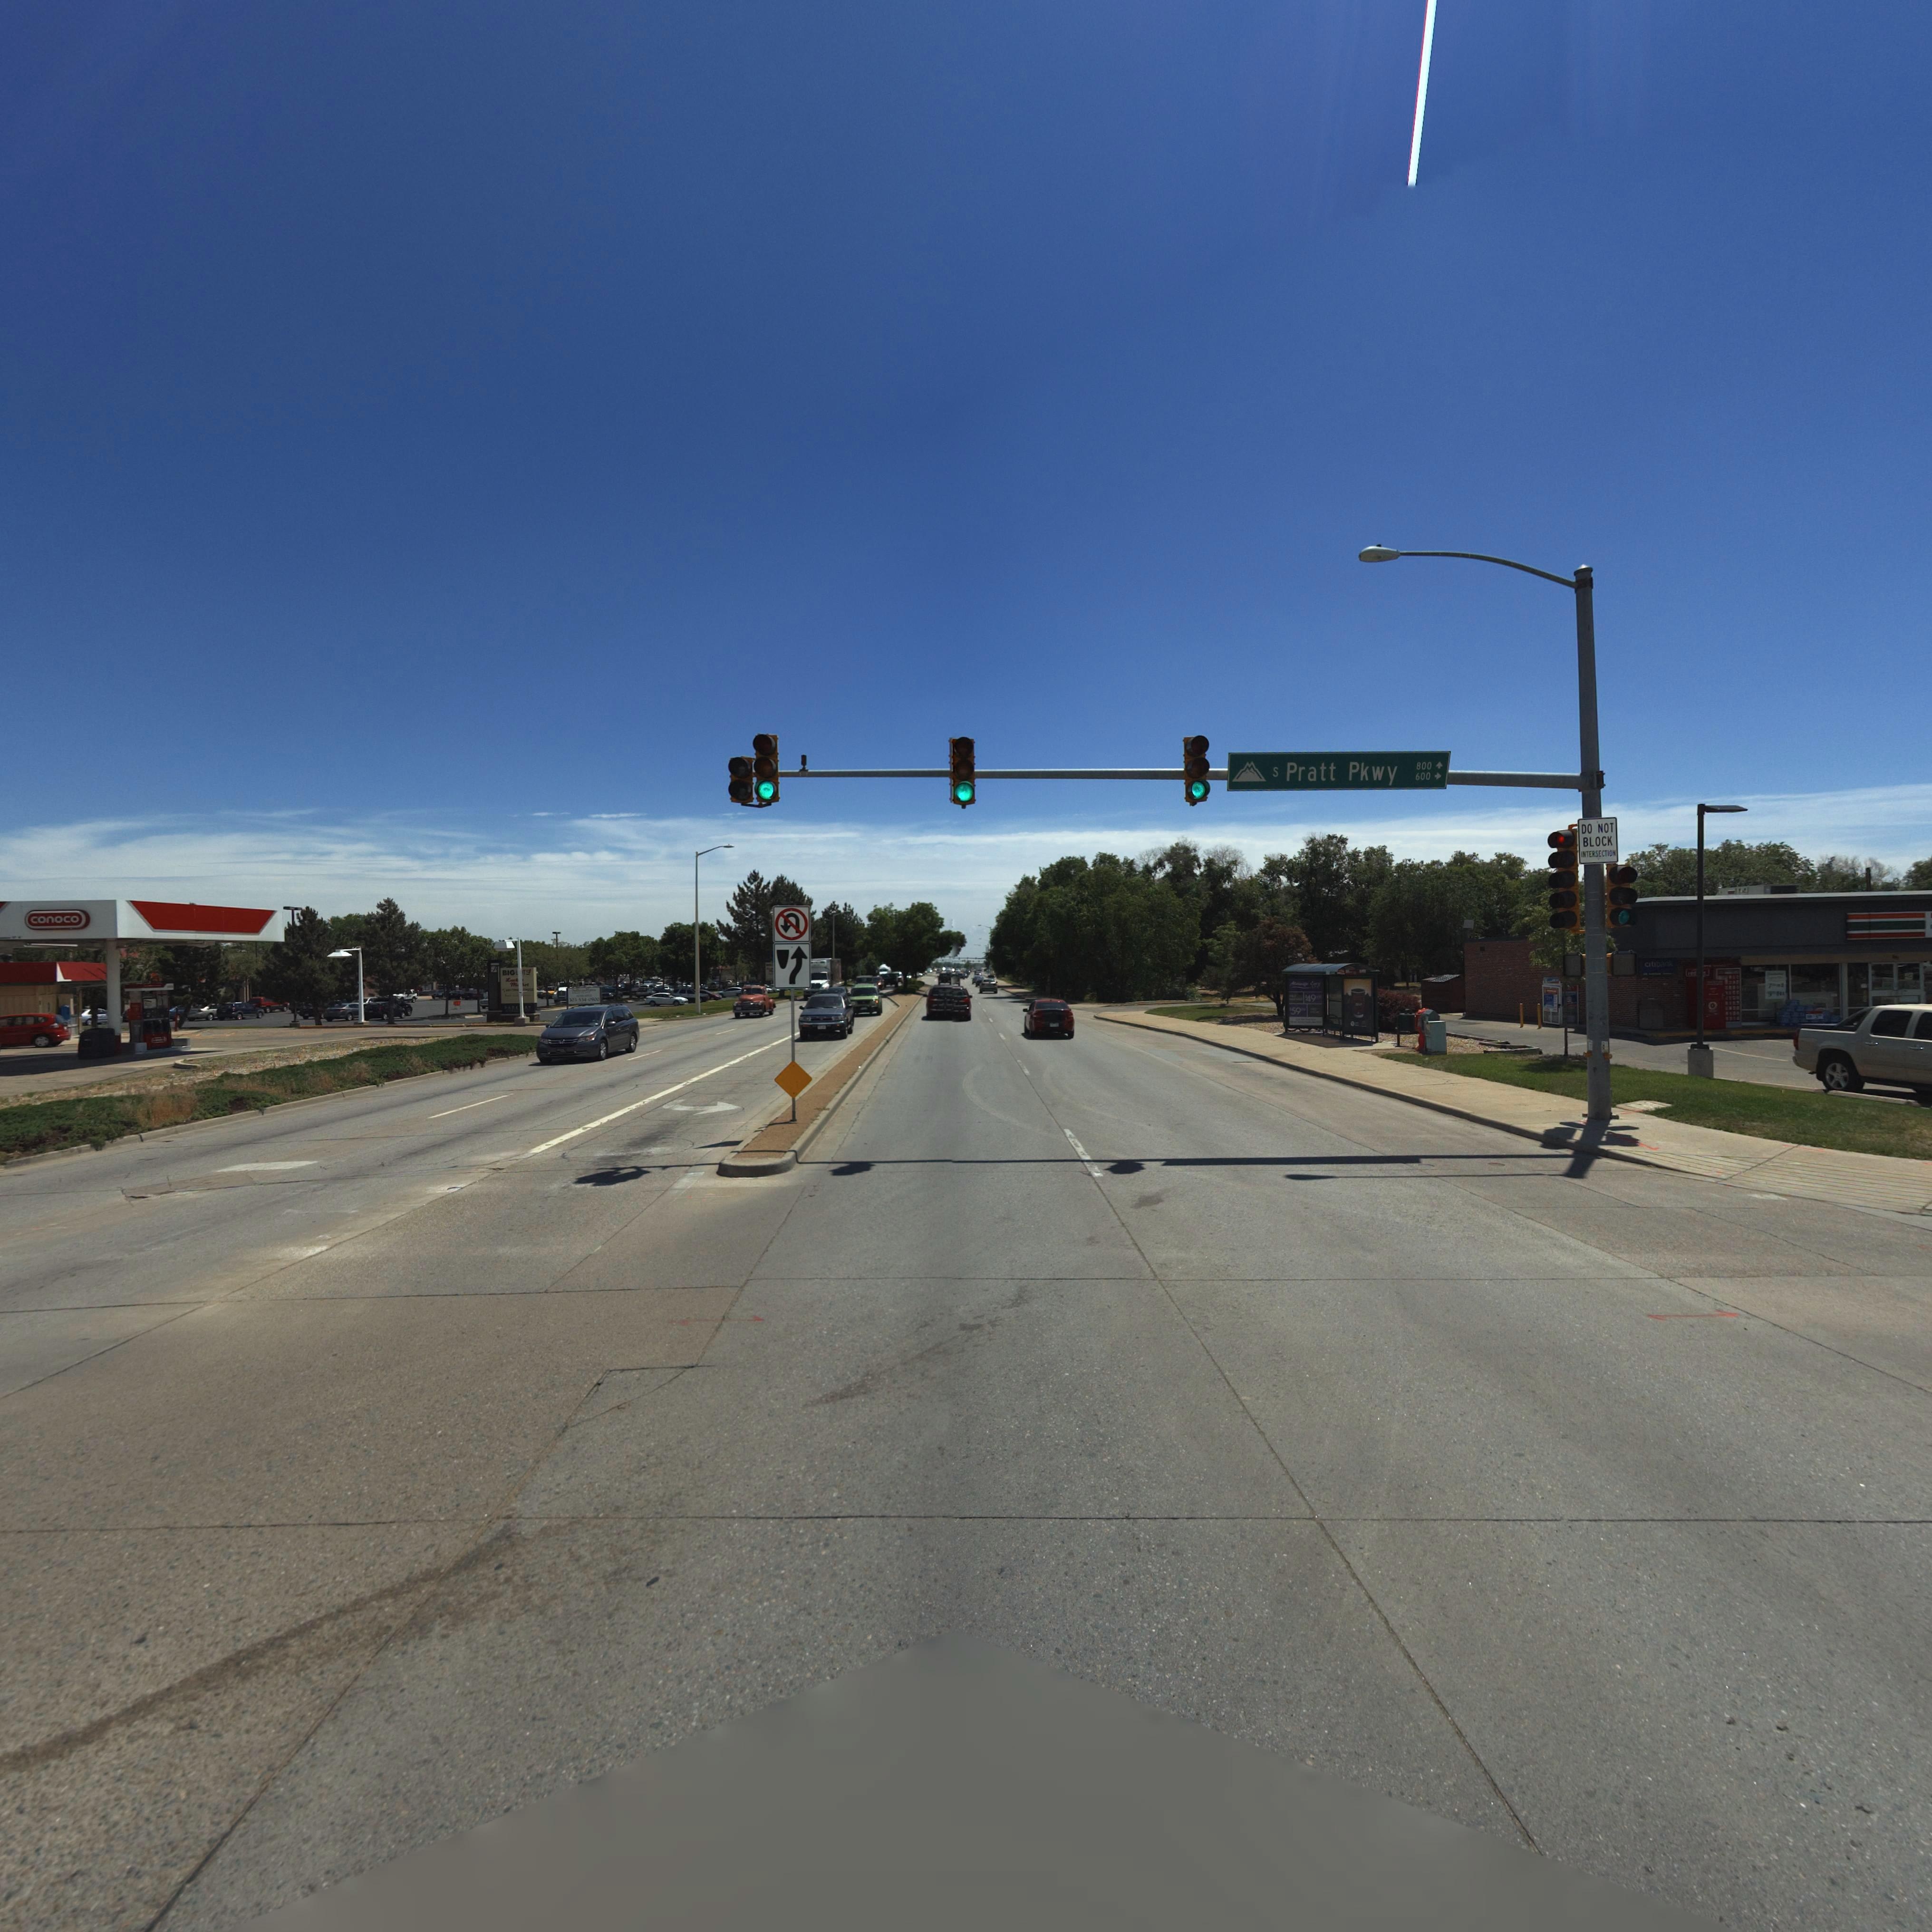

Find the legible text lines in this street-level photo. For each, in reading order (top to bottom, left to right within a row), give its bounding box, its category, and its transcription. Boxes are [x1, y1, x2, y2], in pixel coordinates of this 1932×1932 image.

[1416, 761, 1432, 770] StreetNumberRange: 800
[1271, 761, 1398, 785] StreetName: S Pratt Pkwy
[1415, 772, 1442, 781] StreetNumberRange: 600 ->
[30, 915, 79, 924] BusinessName: conoco
[502, 968, 531, 976] BusinessName: BIG **TS!
[505, 977, 523, 982] BusinessName: Lu*****
[509, 982, 529, 987] BusinessName: M****t